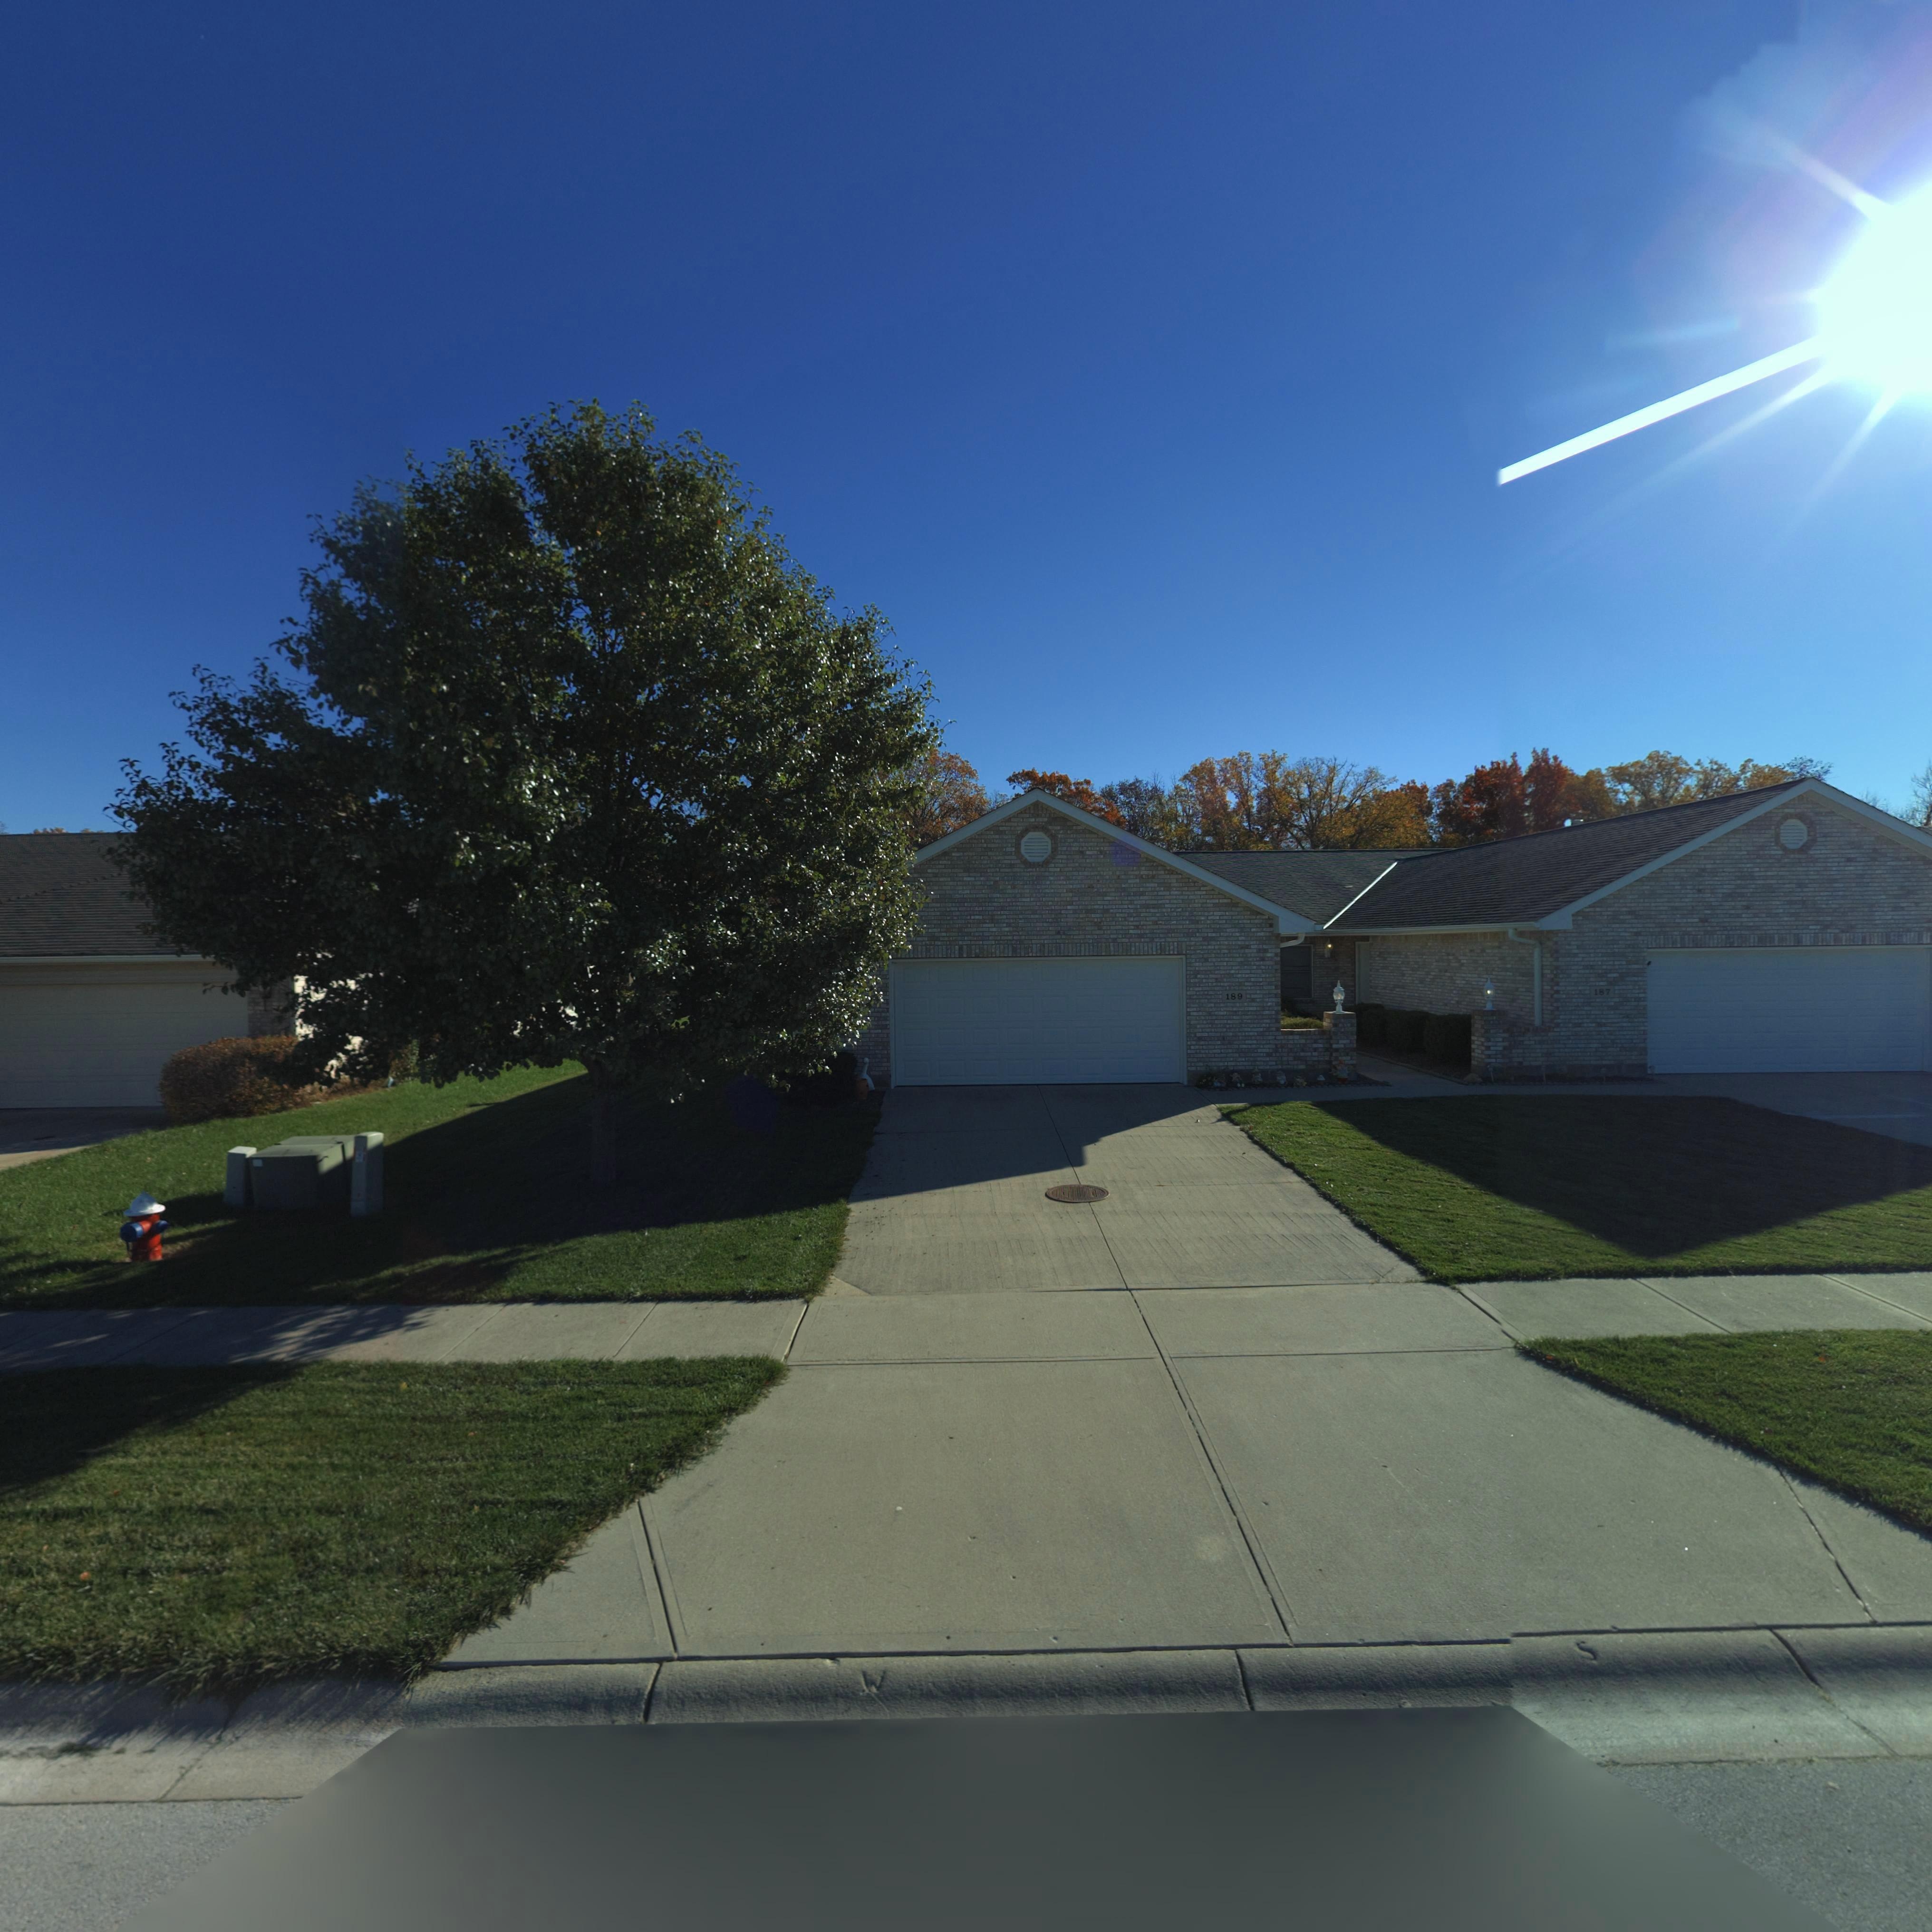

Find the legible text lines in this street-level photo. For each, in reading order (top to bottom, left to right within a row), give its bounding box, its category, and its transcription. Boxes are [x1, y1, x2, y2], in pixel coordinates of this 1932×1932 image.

[1225, 992, 1243, 1001] StreetNumber: 189
[1594, 987, 1611, 996] StreetNumber: 187